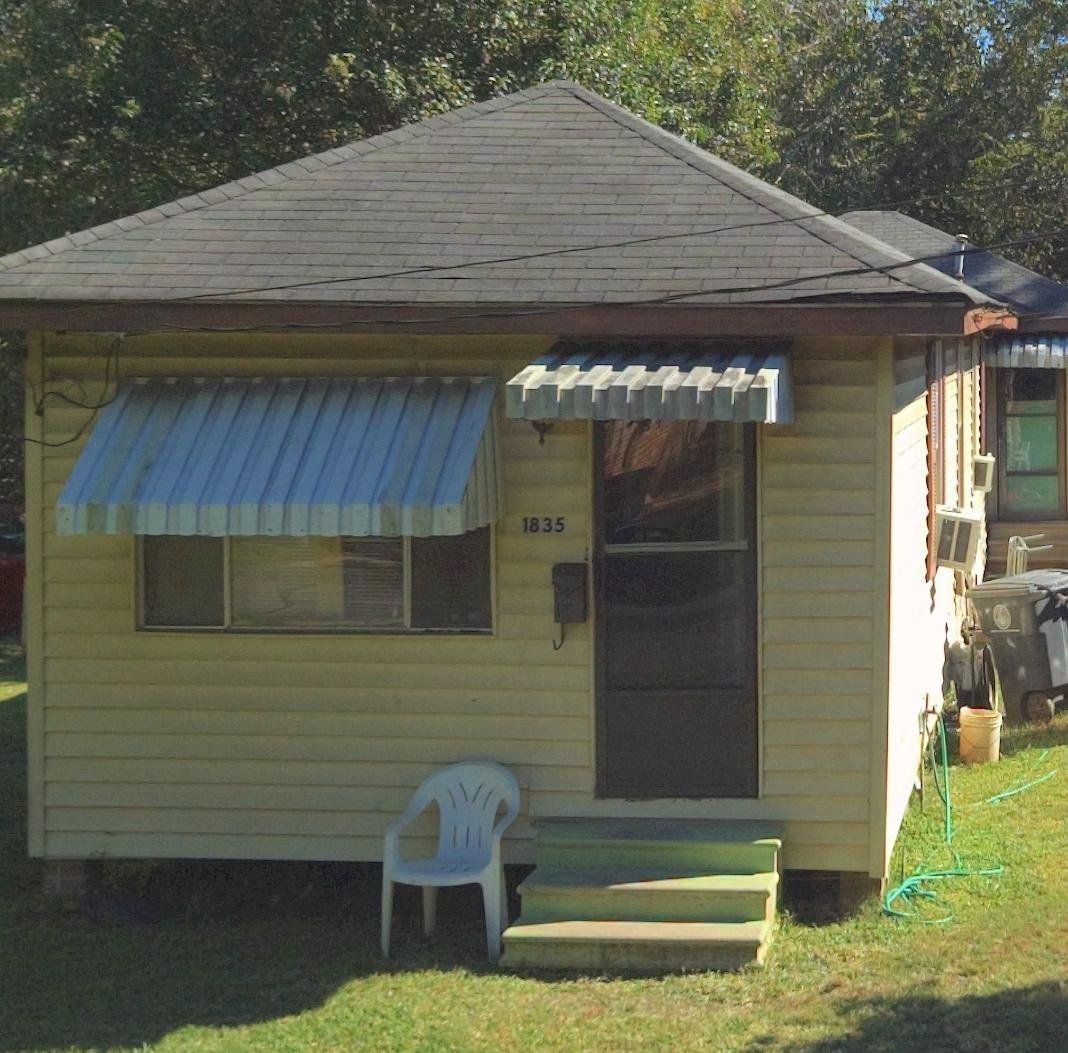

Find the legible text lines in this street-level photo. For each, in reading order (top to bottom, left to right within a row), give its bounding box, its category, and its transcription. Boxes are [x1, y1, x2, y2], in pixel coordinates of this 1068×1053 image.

[521, 515, 566, 535] StreetNumber: 1835